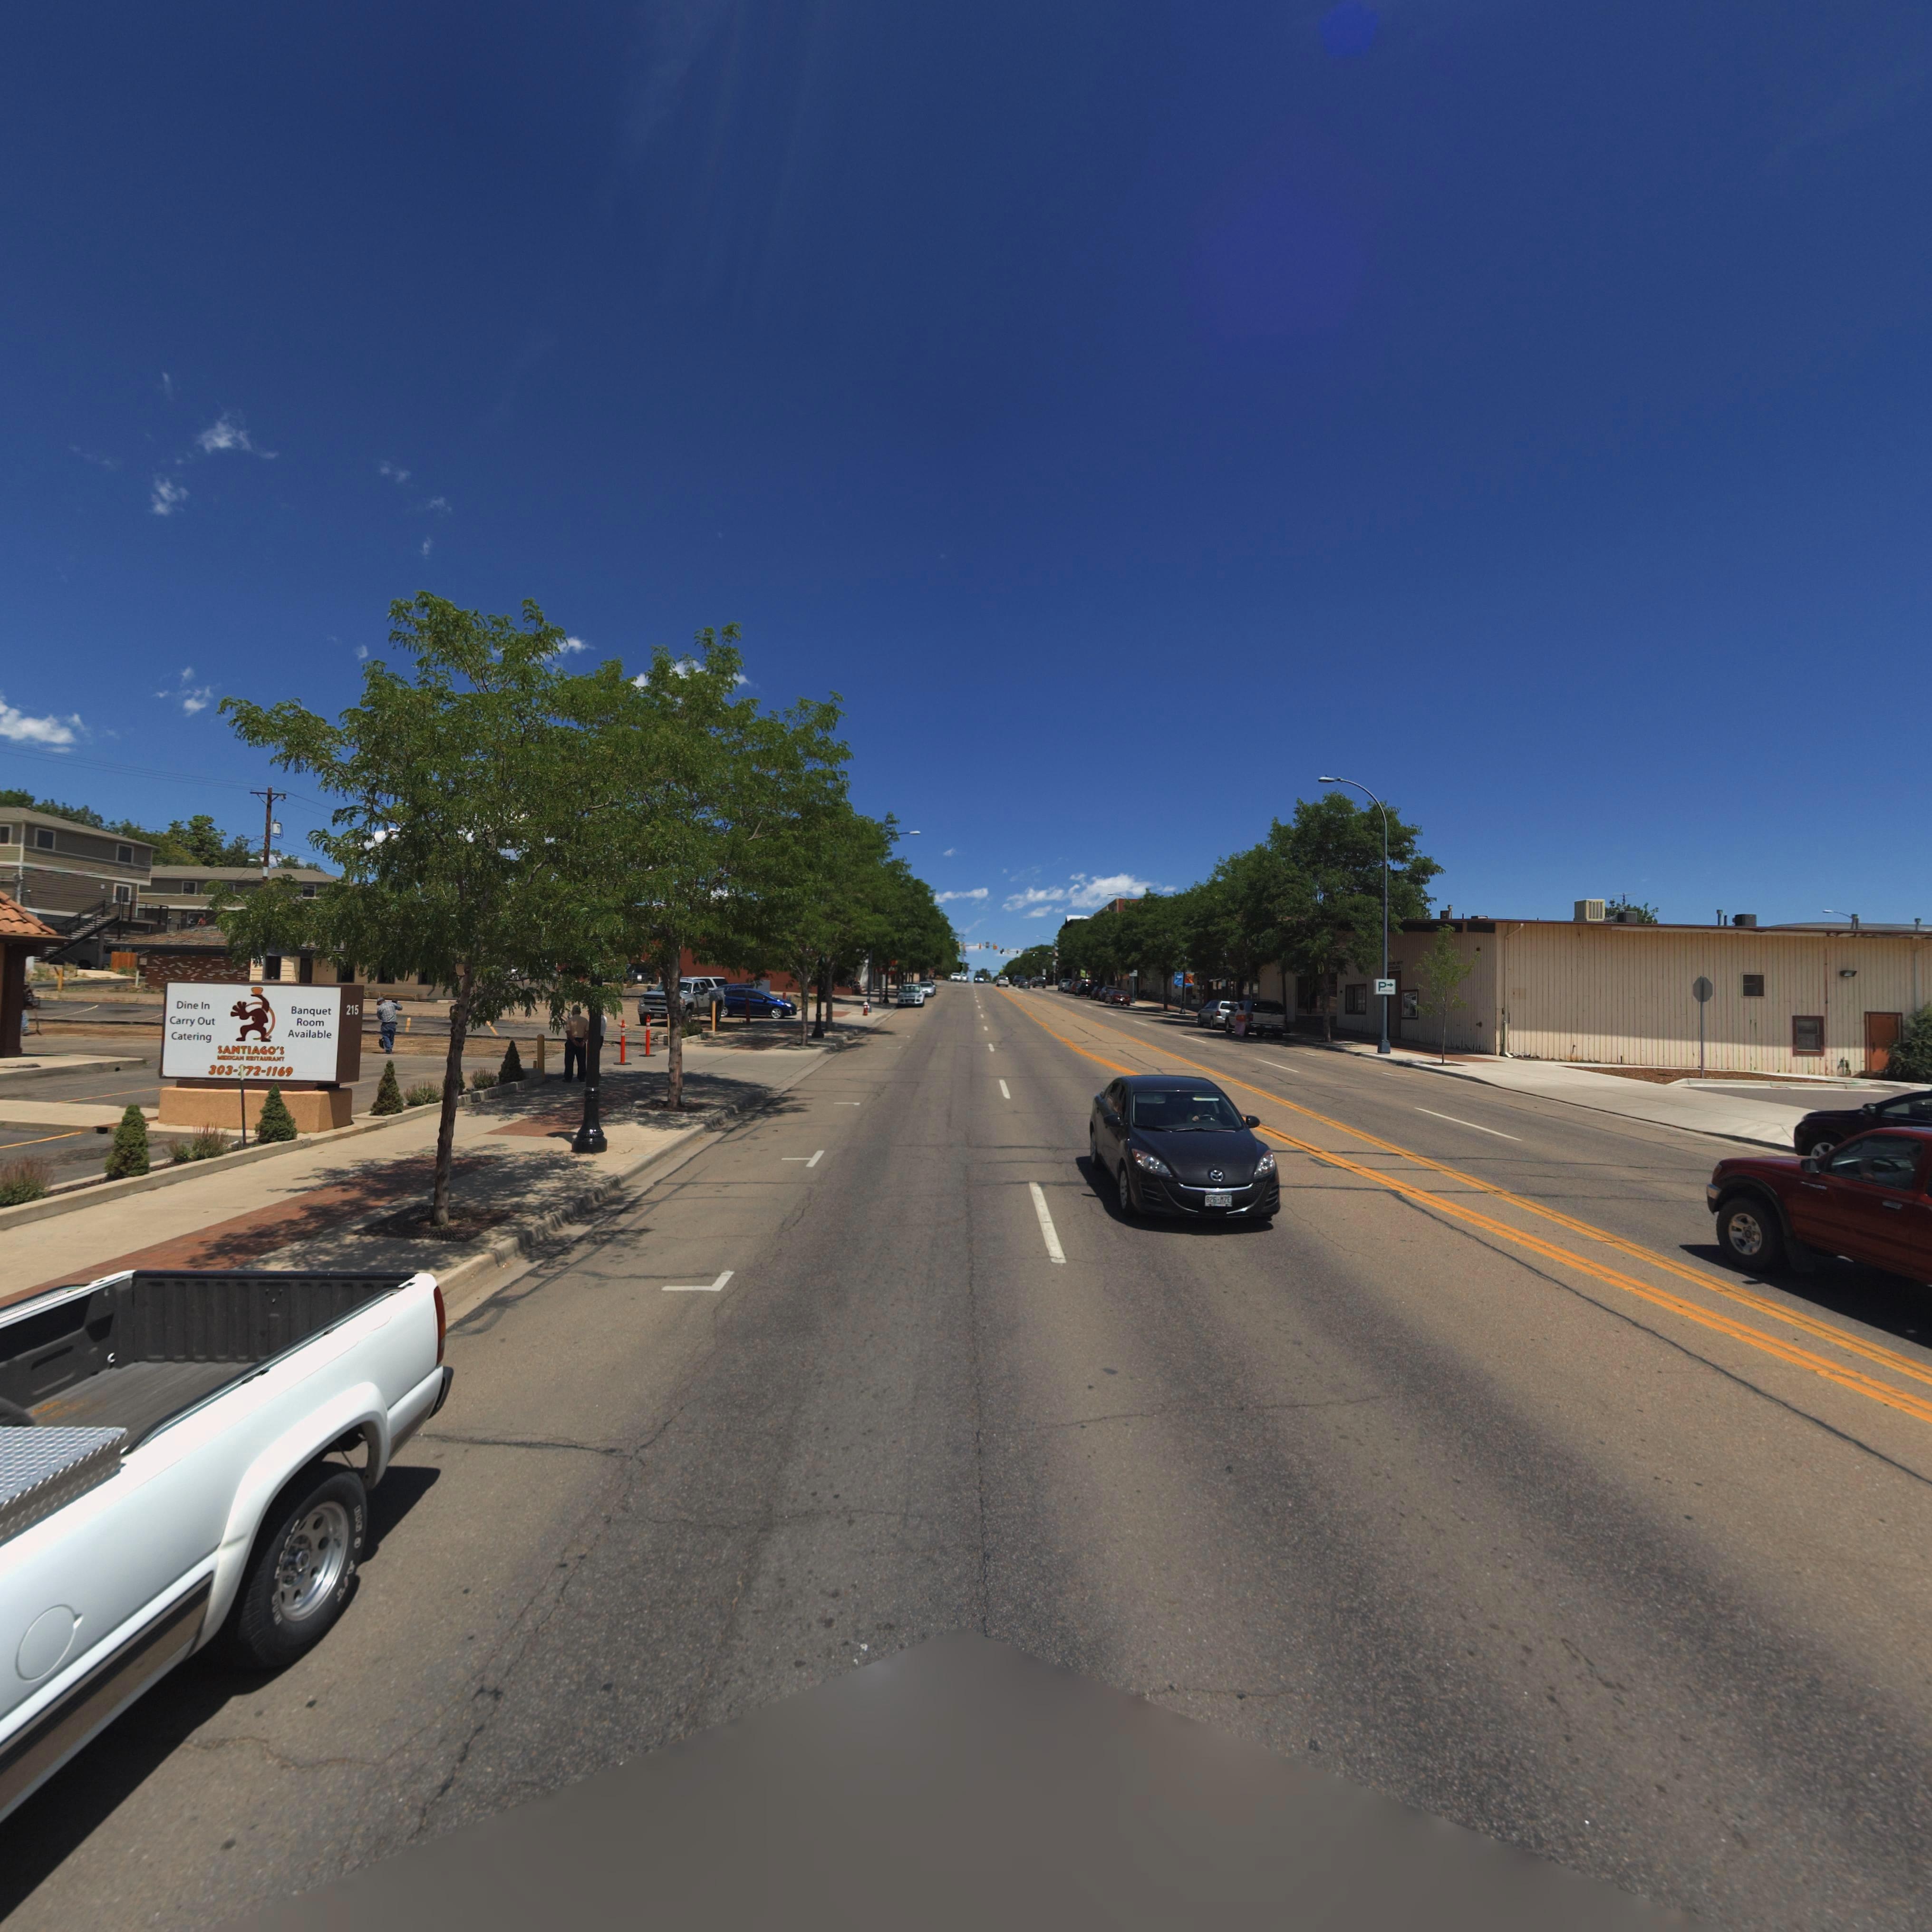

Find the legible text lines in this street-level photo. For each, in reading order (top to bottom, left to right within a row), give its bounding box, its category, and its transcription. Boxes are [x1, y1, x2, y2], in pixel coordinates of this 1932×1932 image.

[346, 1004, 359, 1015] StreetNumber: 215
[217, 1045, 285, 1055] BusinessName: SANTIAGO'S